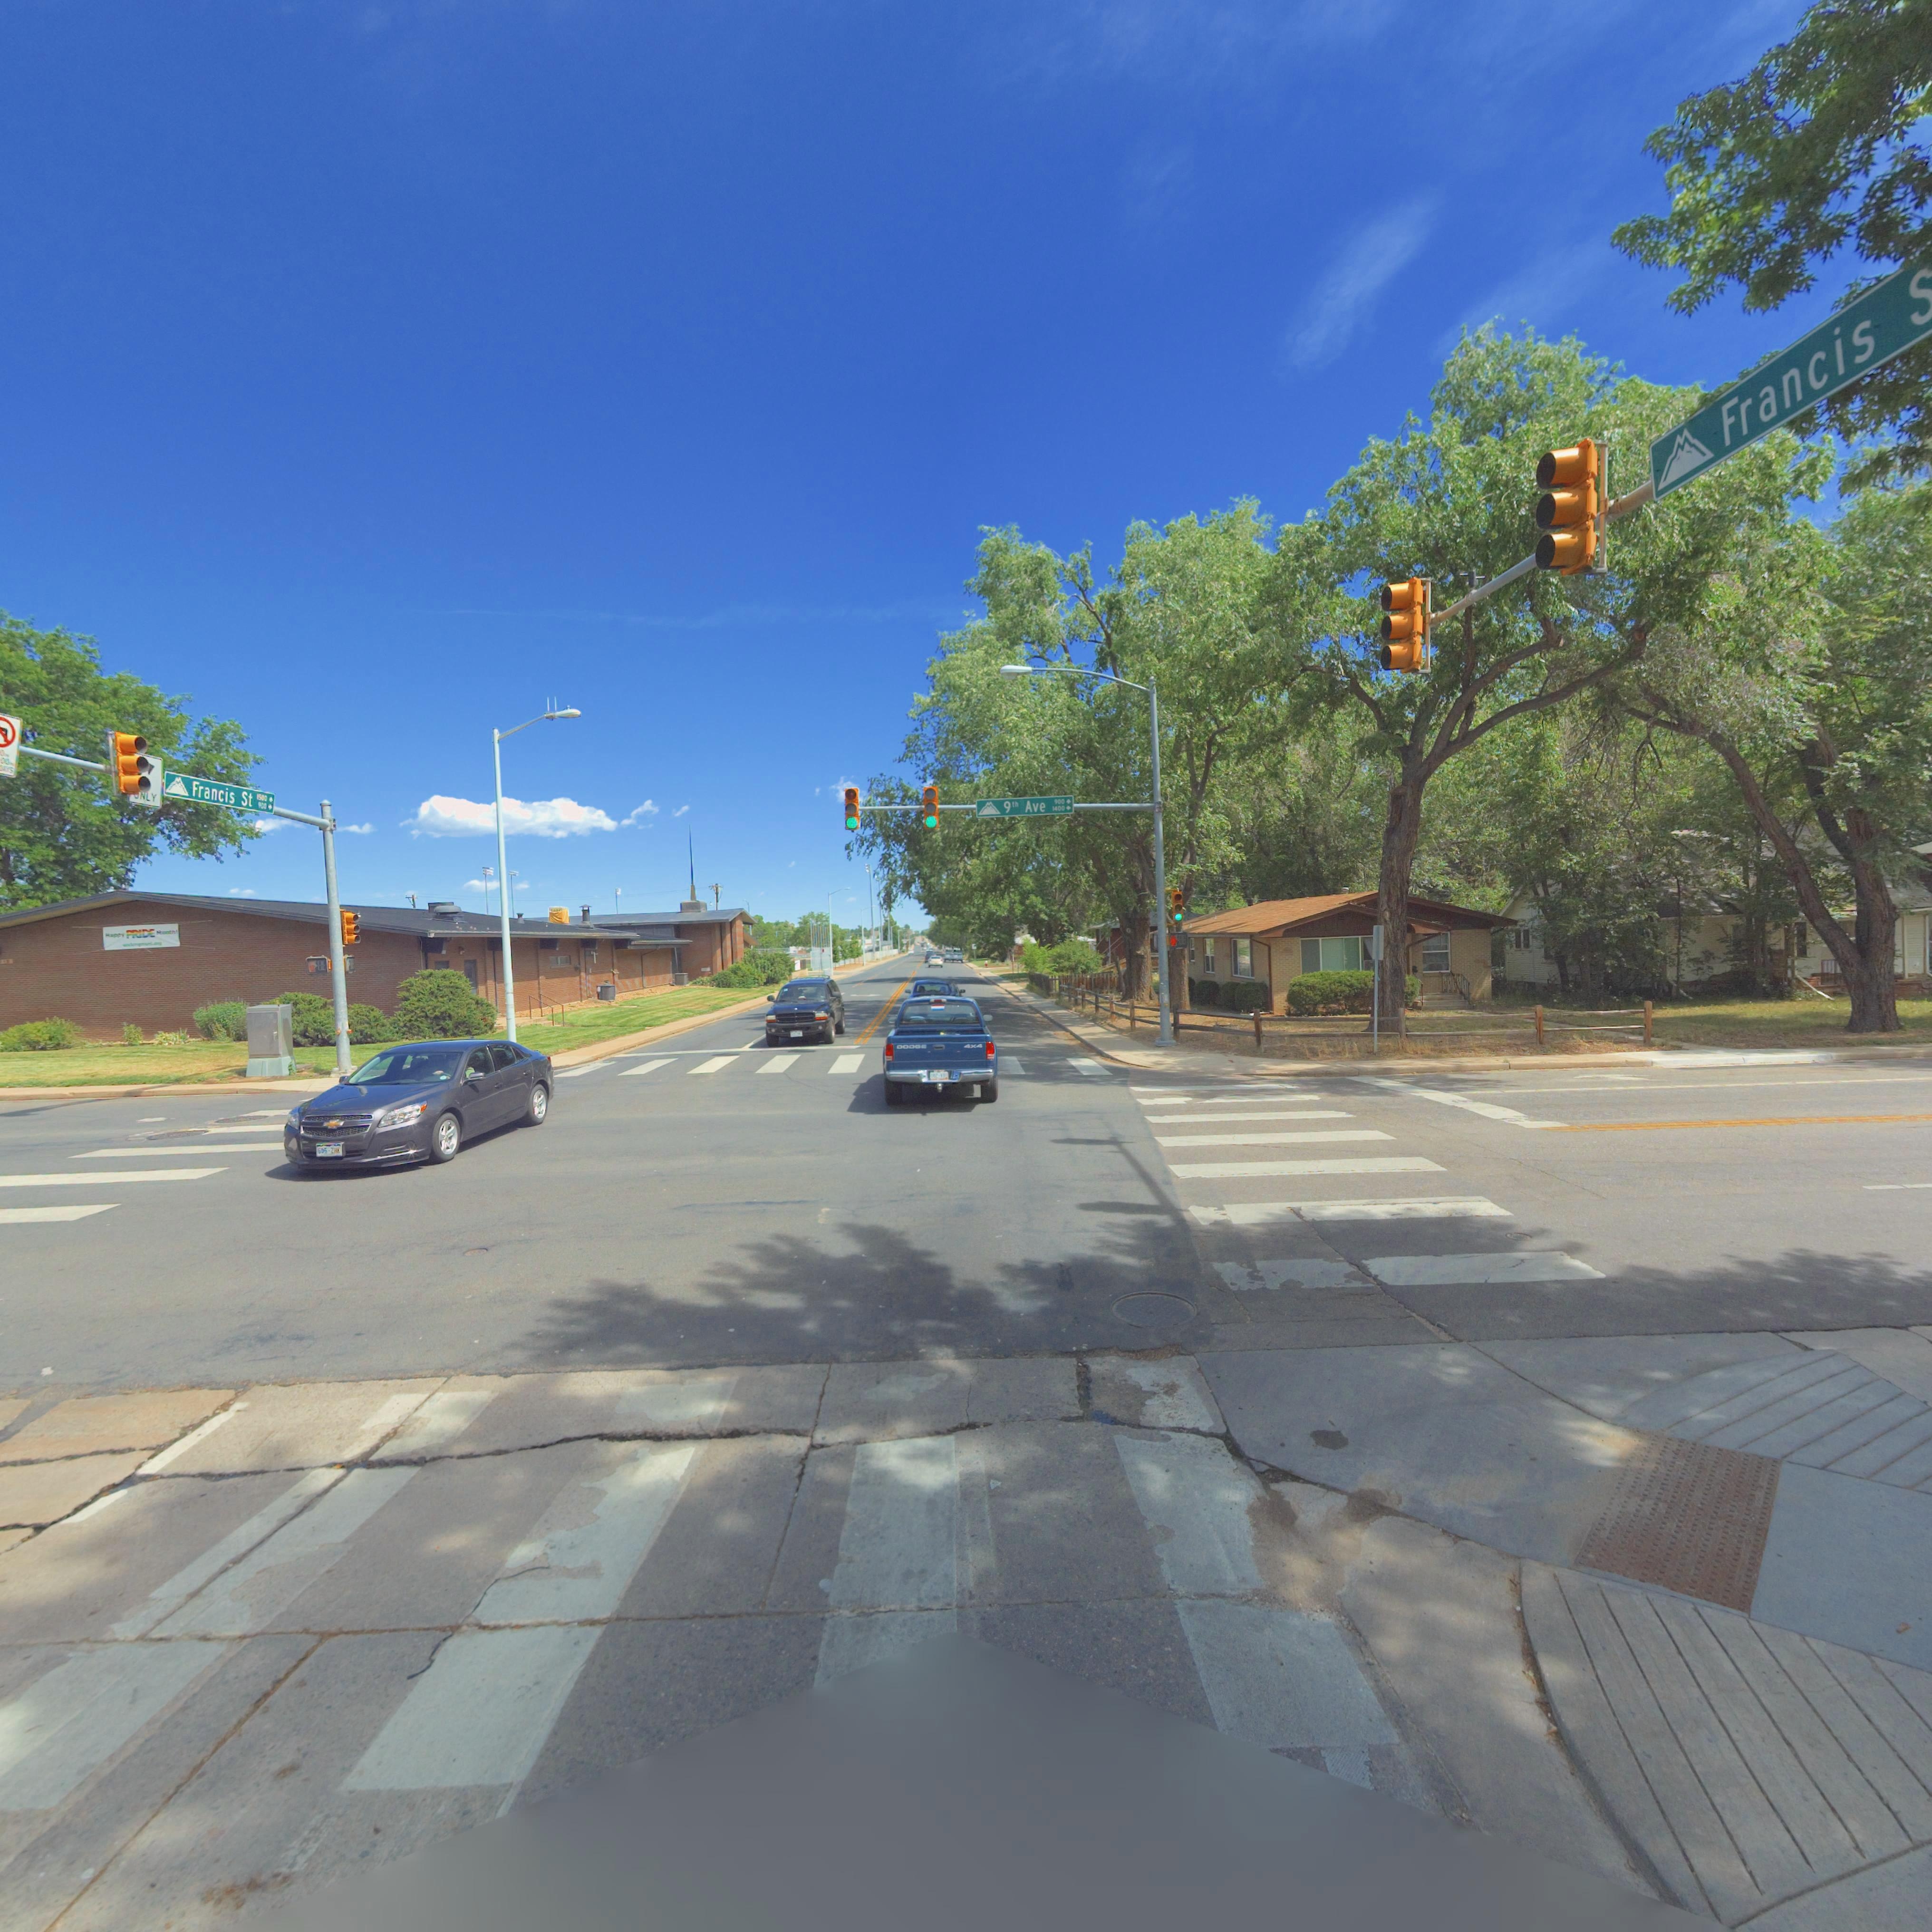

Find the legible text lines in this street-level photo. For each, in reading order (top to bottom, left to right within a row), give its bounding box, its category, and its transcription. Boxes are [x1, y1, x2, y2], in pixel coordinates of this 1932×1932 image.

[1721, 264, 1928, 447] StreetName: Francis **
[193, 781, 253, 807] StreetName: Francis St
[257, 793, 267, 802] StreetNumberRange: 1500
[258, 801, 272, 810] StreetNumberRange: *00 ->
[1003, 800, 1045, 813] StreetName: 9th Ave
[1054, 799, 1064, 804] StreetNumberRange: 900
[1052, 805, 1071, 811] StreetNumberRange: 1400 ->